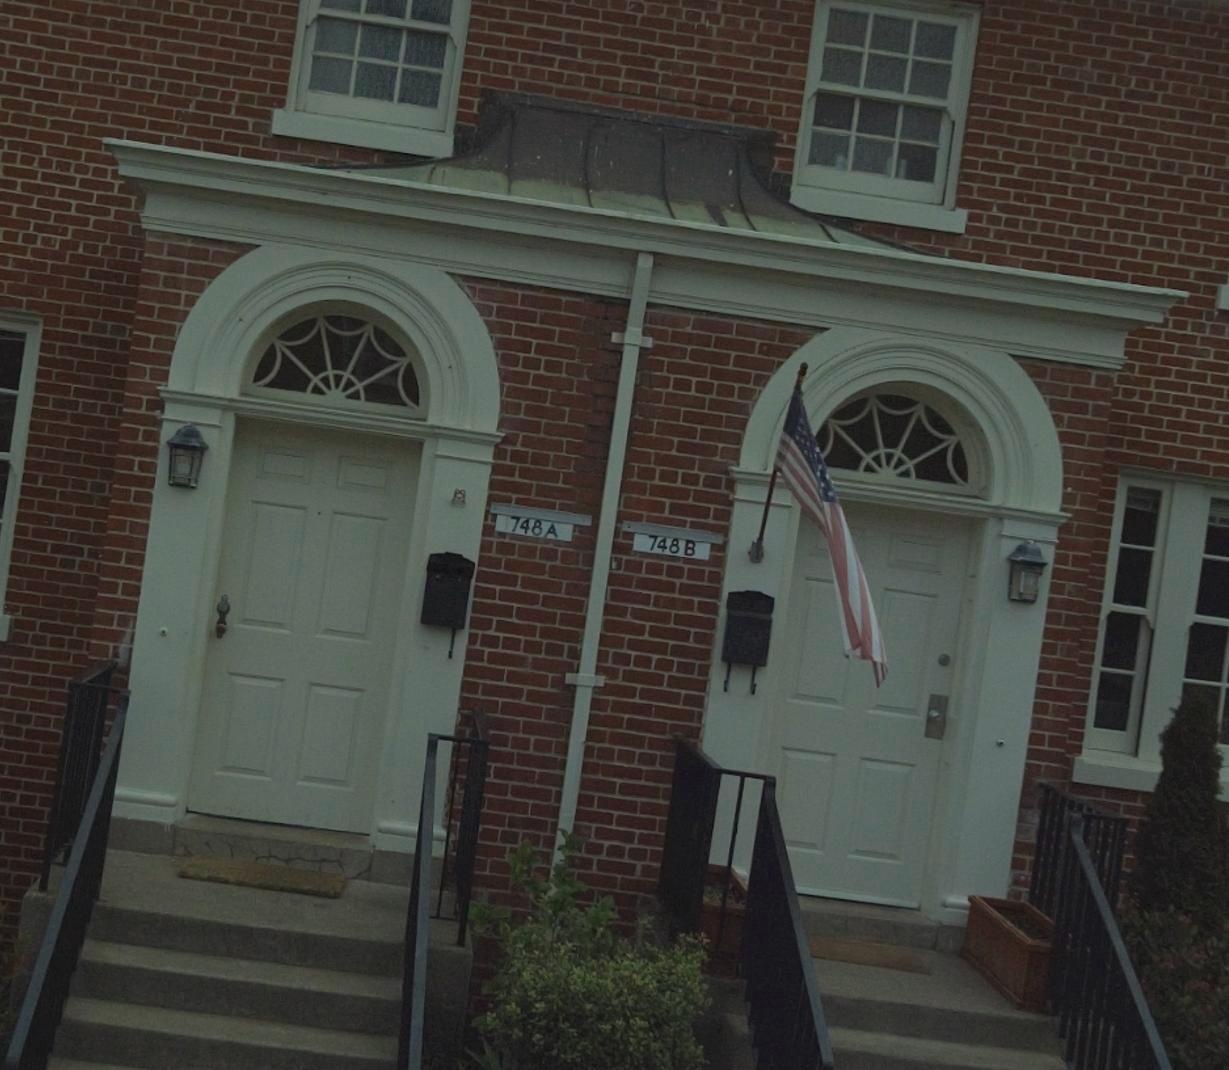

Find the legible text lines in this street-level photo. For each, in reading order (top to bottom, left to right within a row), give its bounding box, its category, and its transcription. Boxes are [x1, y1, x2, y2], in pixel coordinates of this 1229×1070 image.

[508, 515, 560, 541] StreetNumber: 748 A
[648, 534, 697, 558] StreetNumber: 748 B